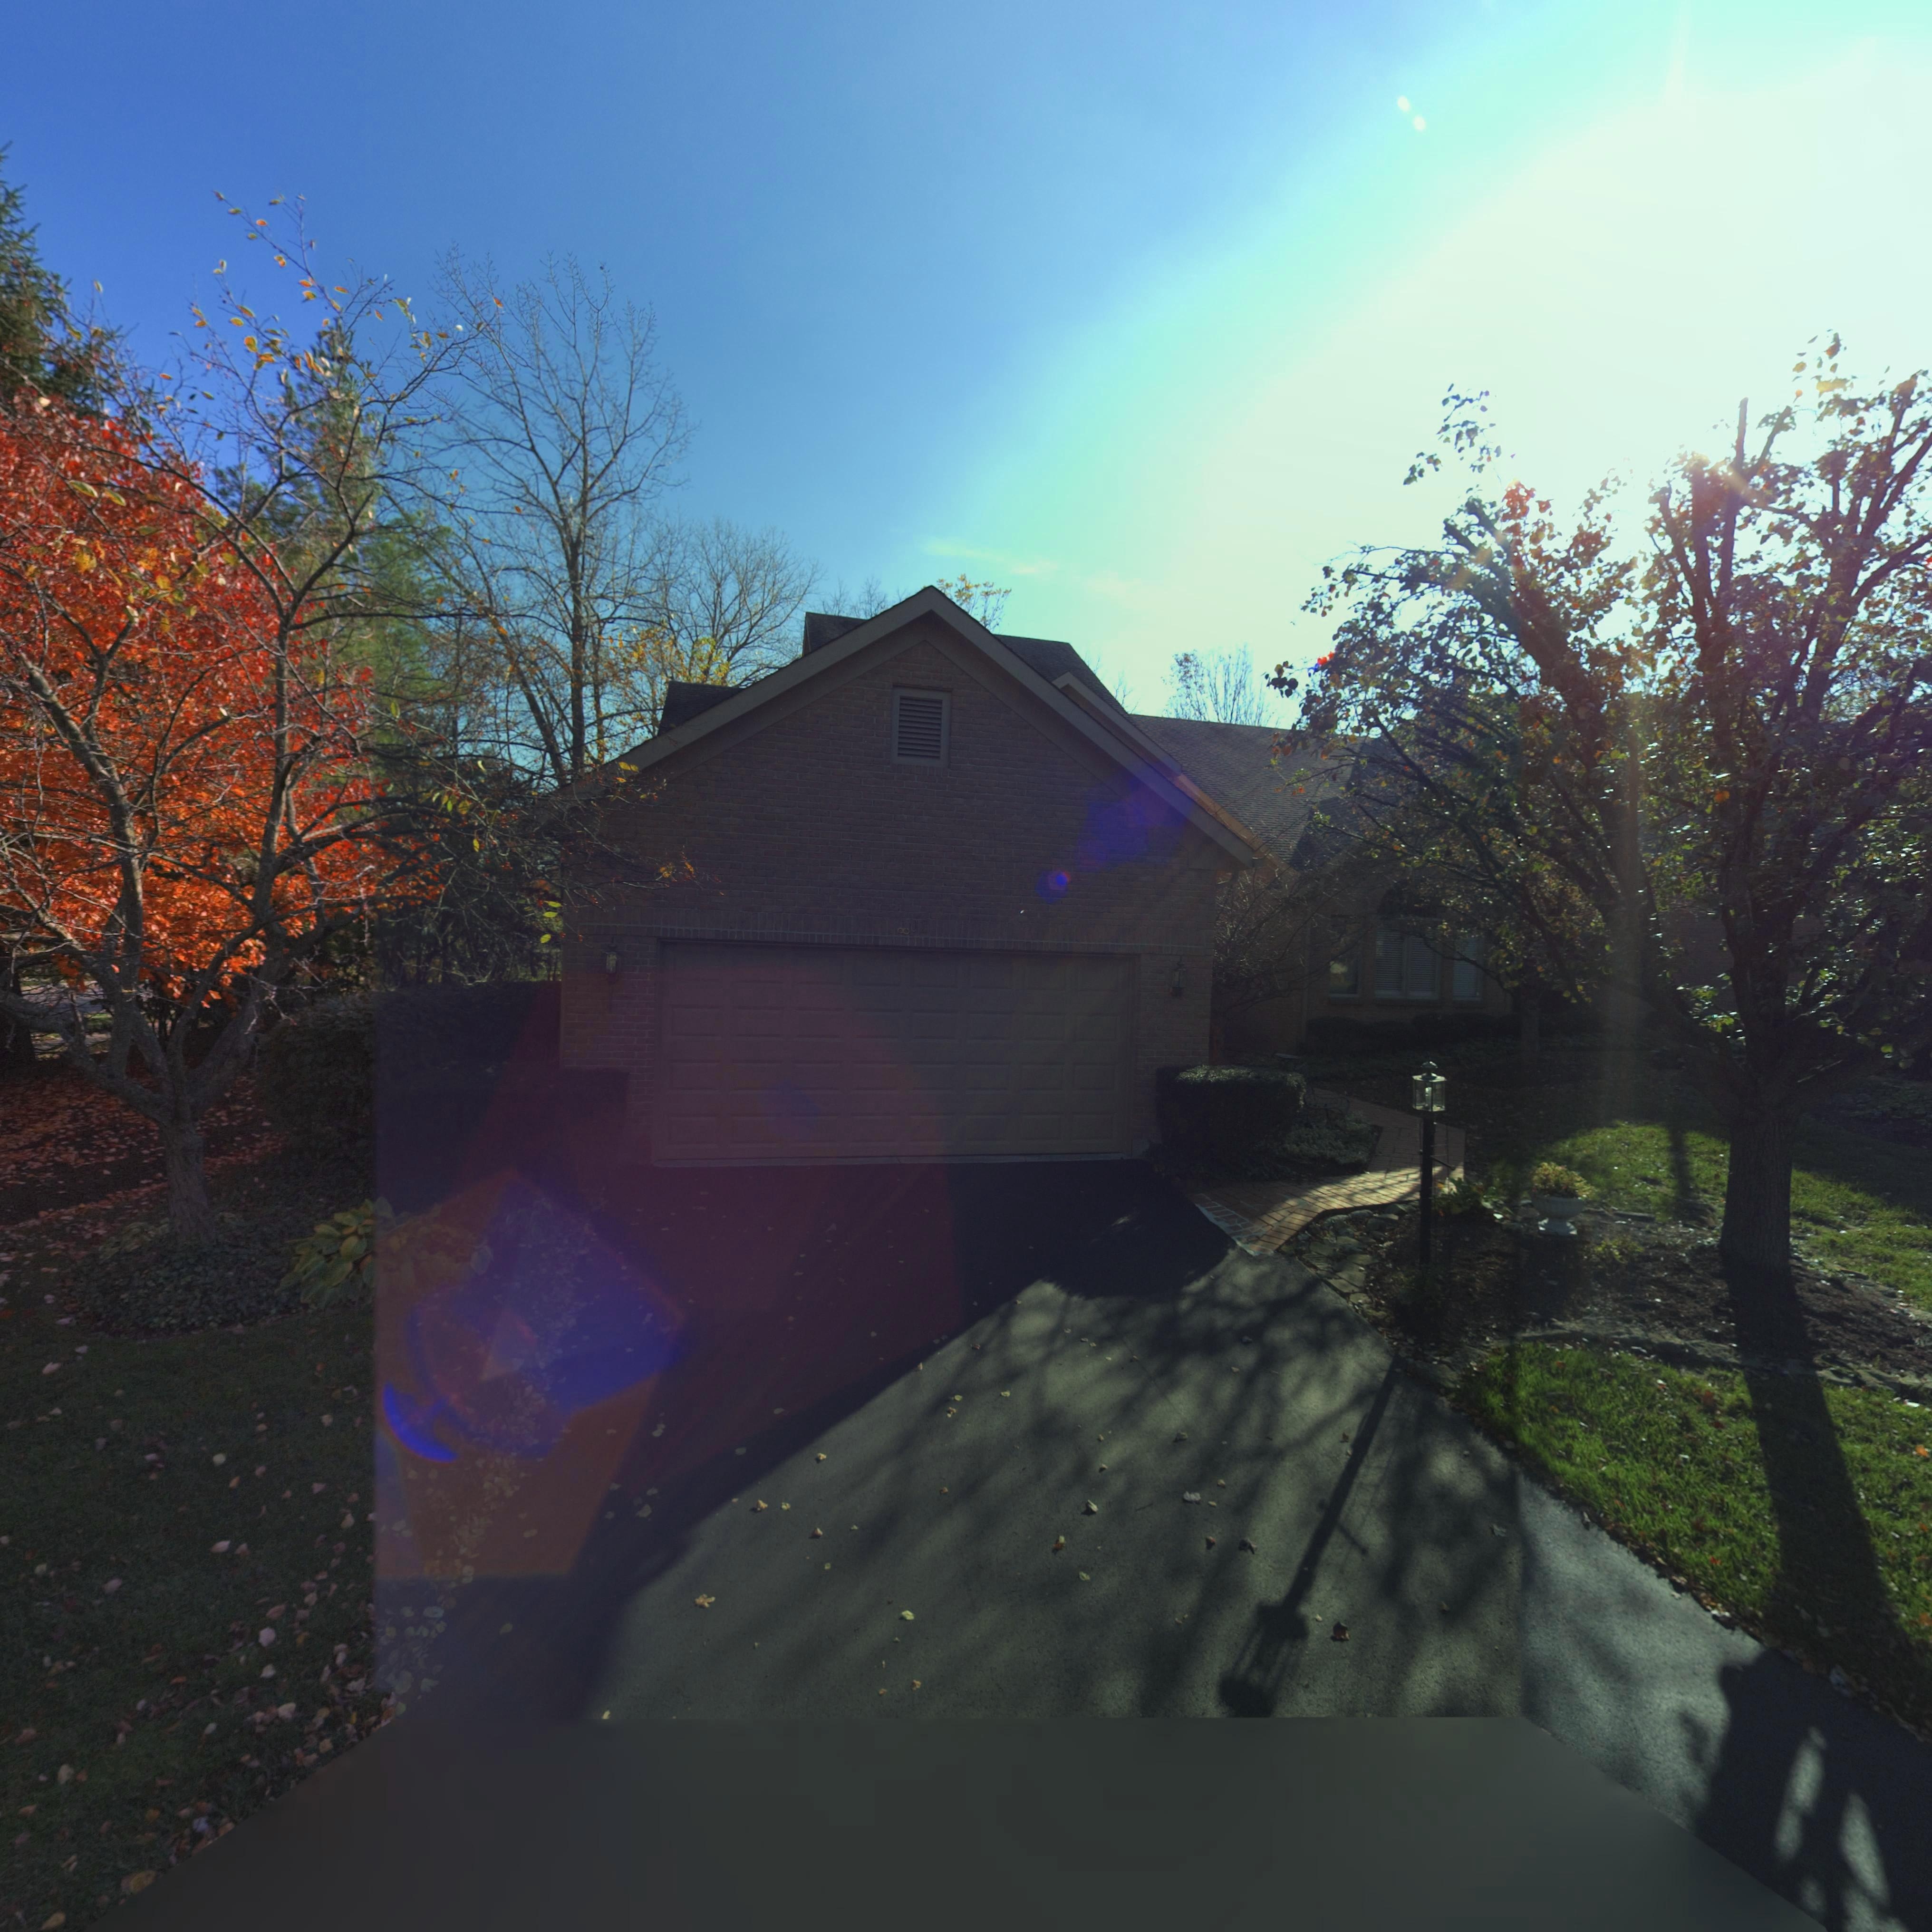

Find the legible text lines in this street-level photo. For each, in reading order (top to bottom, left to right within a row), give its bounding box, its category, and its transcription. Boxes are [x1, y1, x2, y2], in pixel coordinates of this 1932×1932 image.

[896, 918, 929, 936] StreetNumber: 802